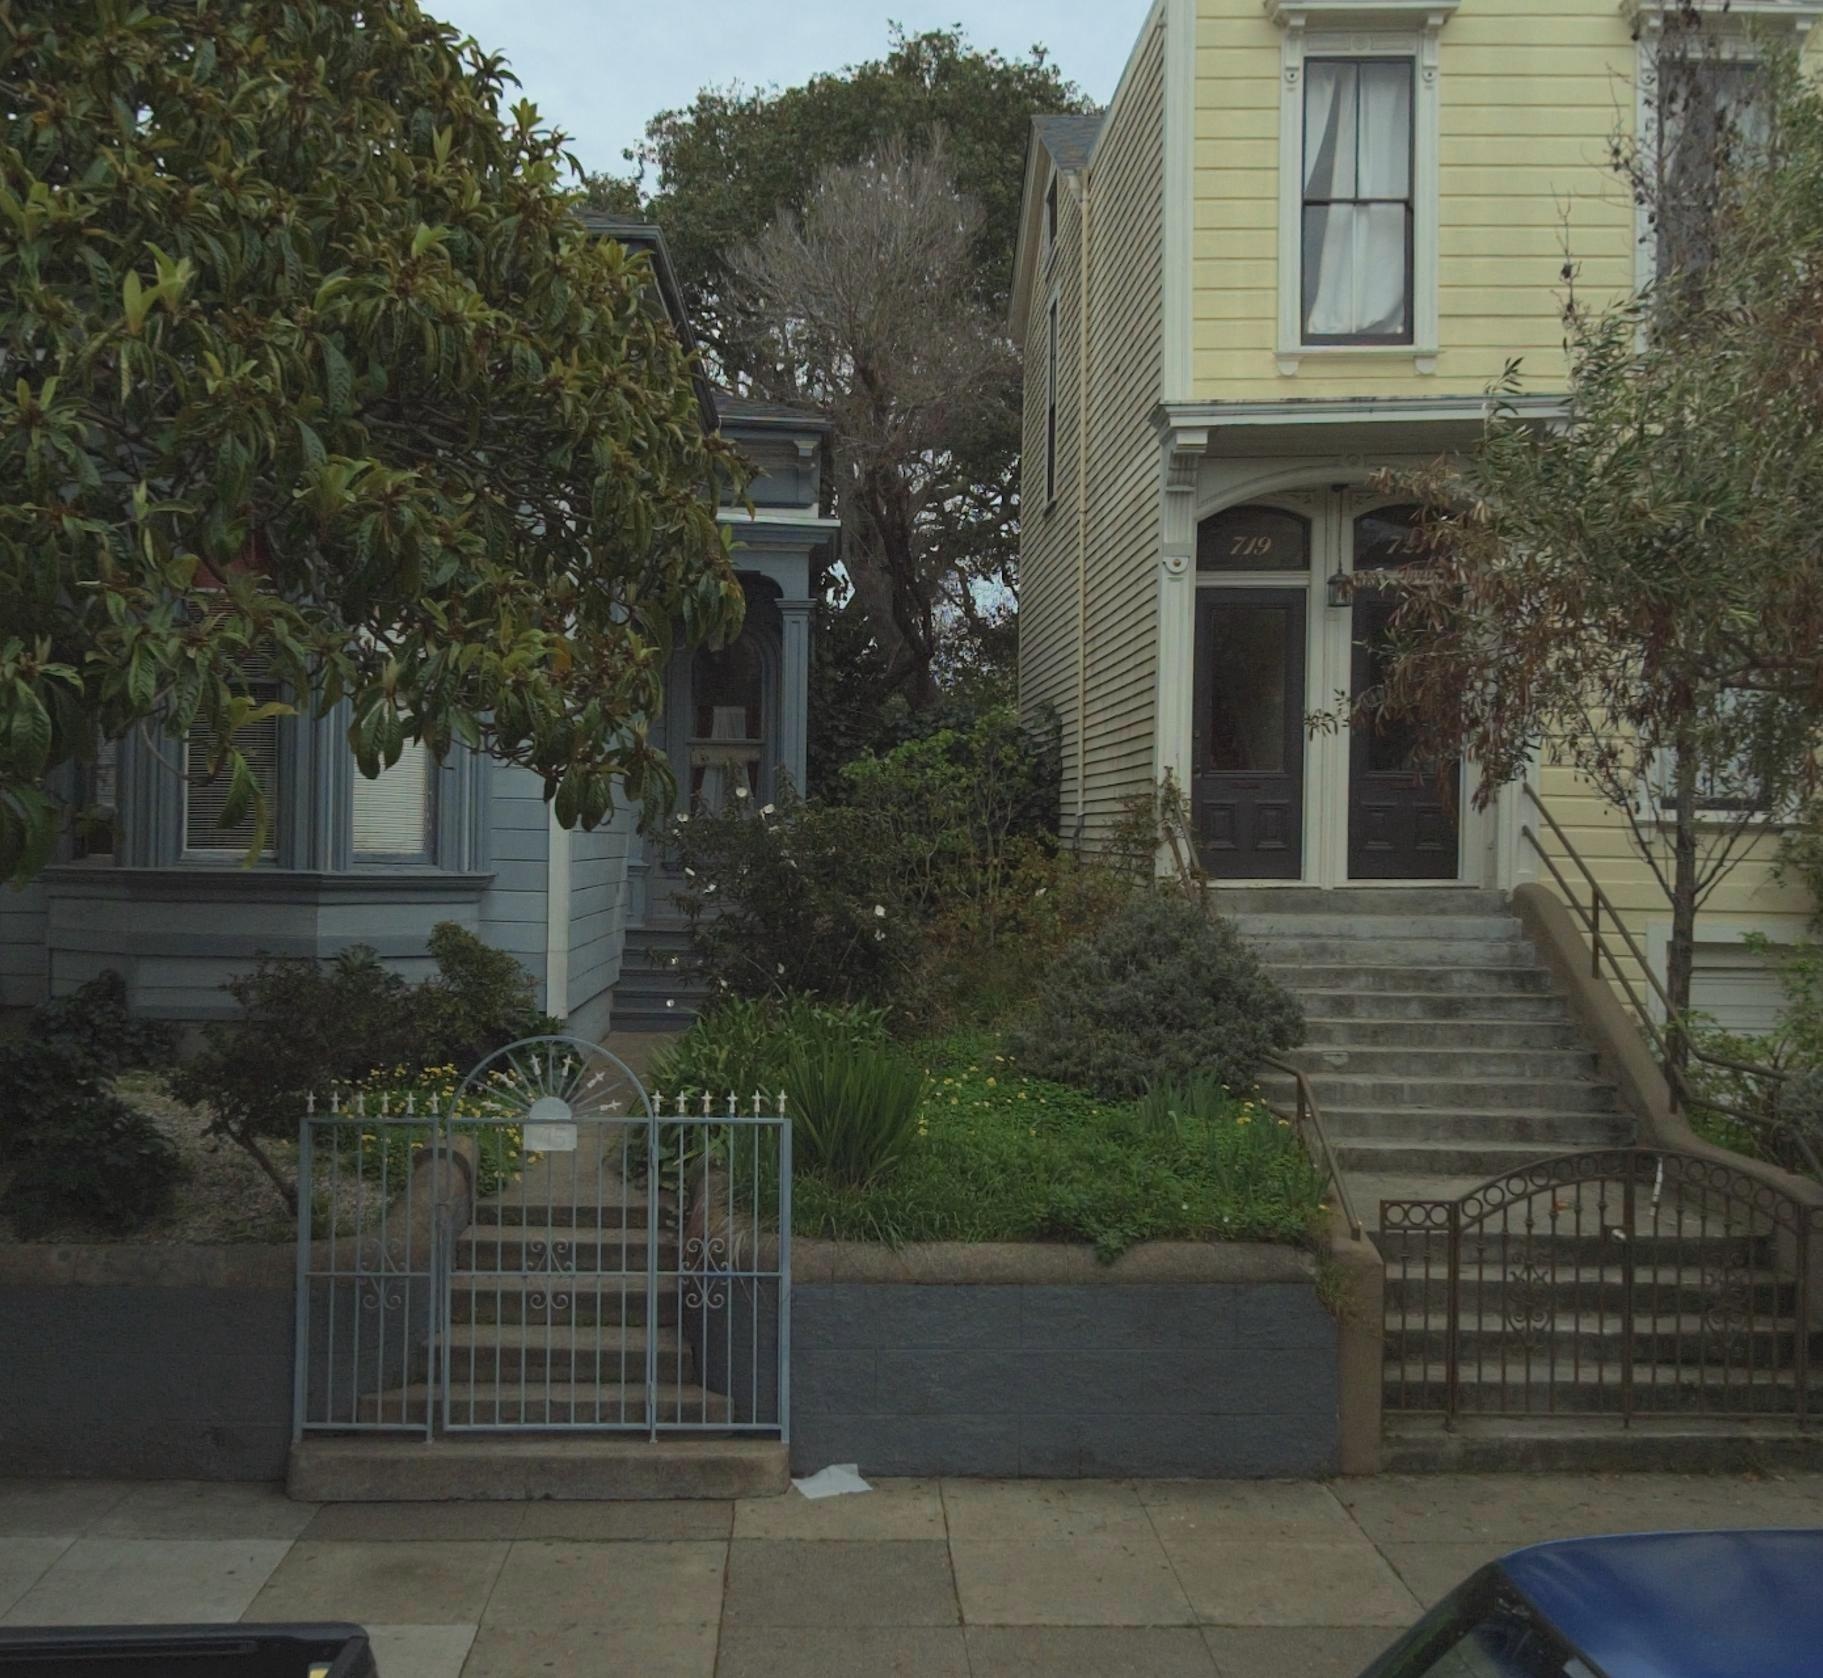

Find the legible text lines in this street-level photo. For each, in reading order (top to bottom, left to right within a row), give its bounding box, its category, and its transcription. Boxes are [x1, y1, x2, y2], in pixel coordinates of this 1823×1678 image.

[1227, 534, 1274, 557] StreetNumber: 719
[1383, 533, 1434, 557] StreetNumber: 7**
[531, 1125, 569, 1150] StreetNumber: 715